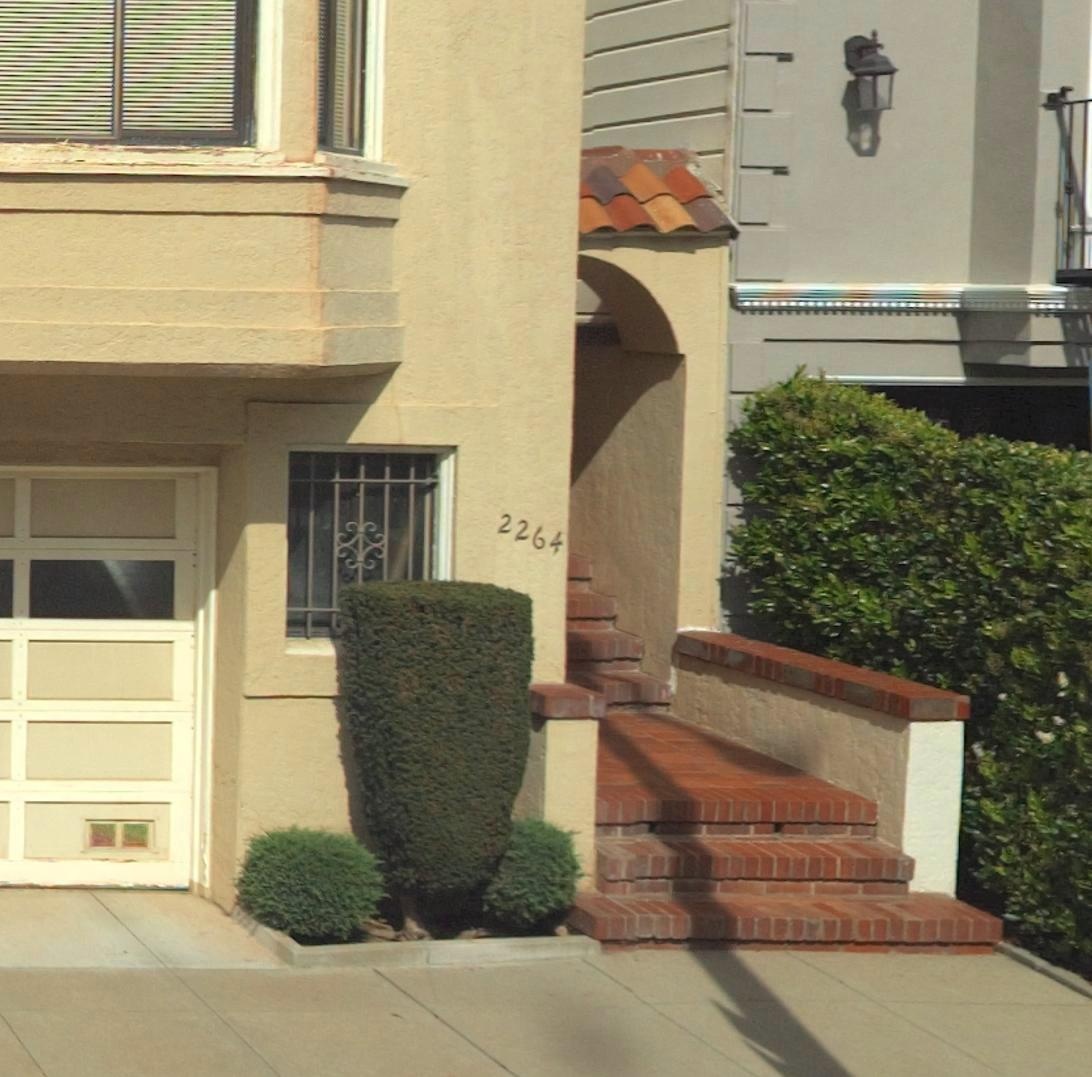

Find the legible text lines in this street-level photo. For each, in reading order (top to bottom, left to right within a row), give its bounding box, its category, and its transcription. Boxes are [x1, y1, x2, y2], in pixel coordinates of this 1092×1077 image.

[493, 511, 566, 560] StreetNumber: 2264